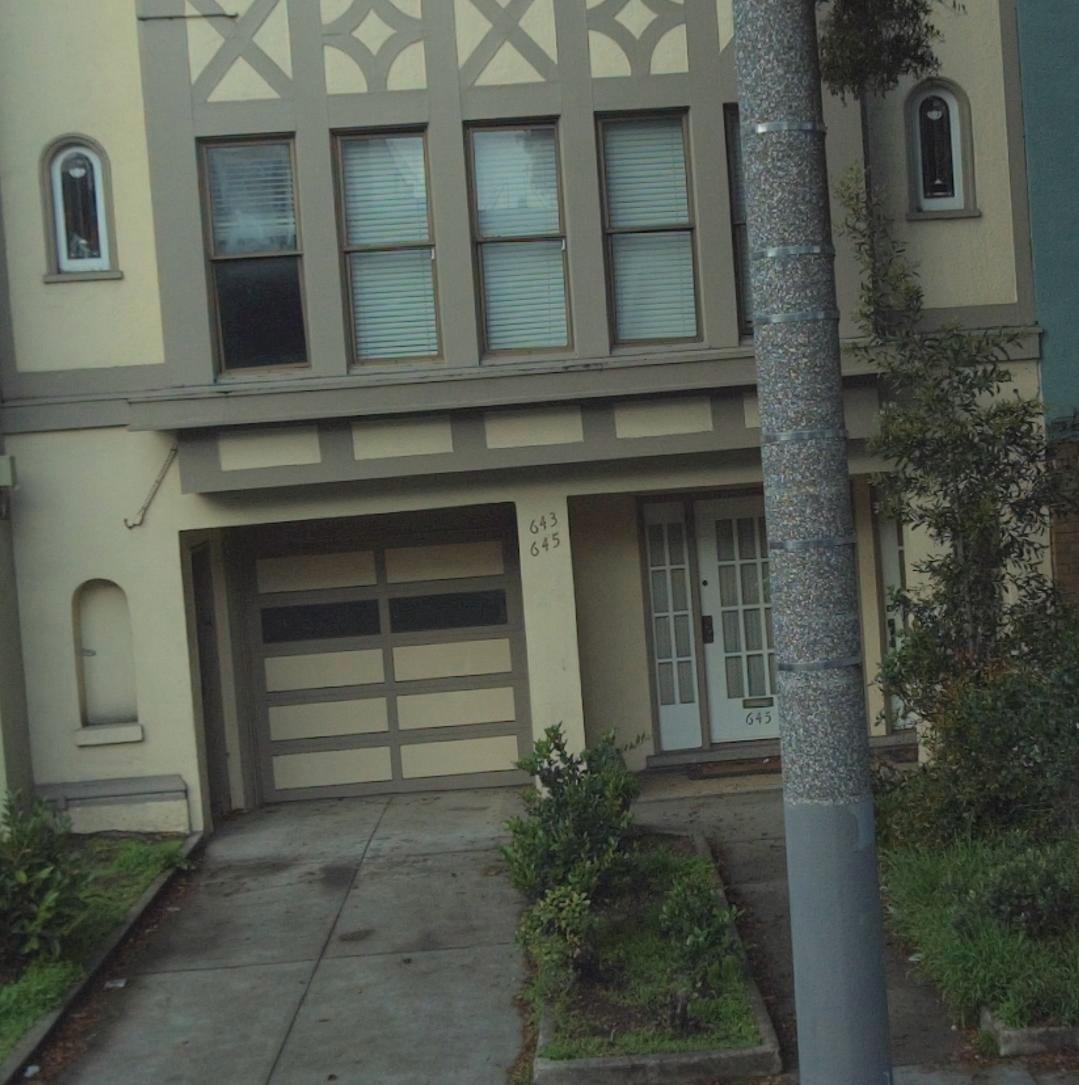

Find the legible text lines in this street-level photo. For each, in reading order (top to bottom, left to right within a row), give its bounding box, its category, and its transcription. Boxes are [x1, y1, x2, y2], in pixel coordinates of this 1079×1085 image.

[527, 508, 561, 537] StreetNumber: 643
[527, 529, 564, 560] StreetNumber: 645
[743, 708, 775, 728] StreetNumber: 6453